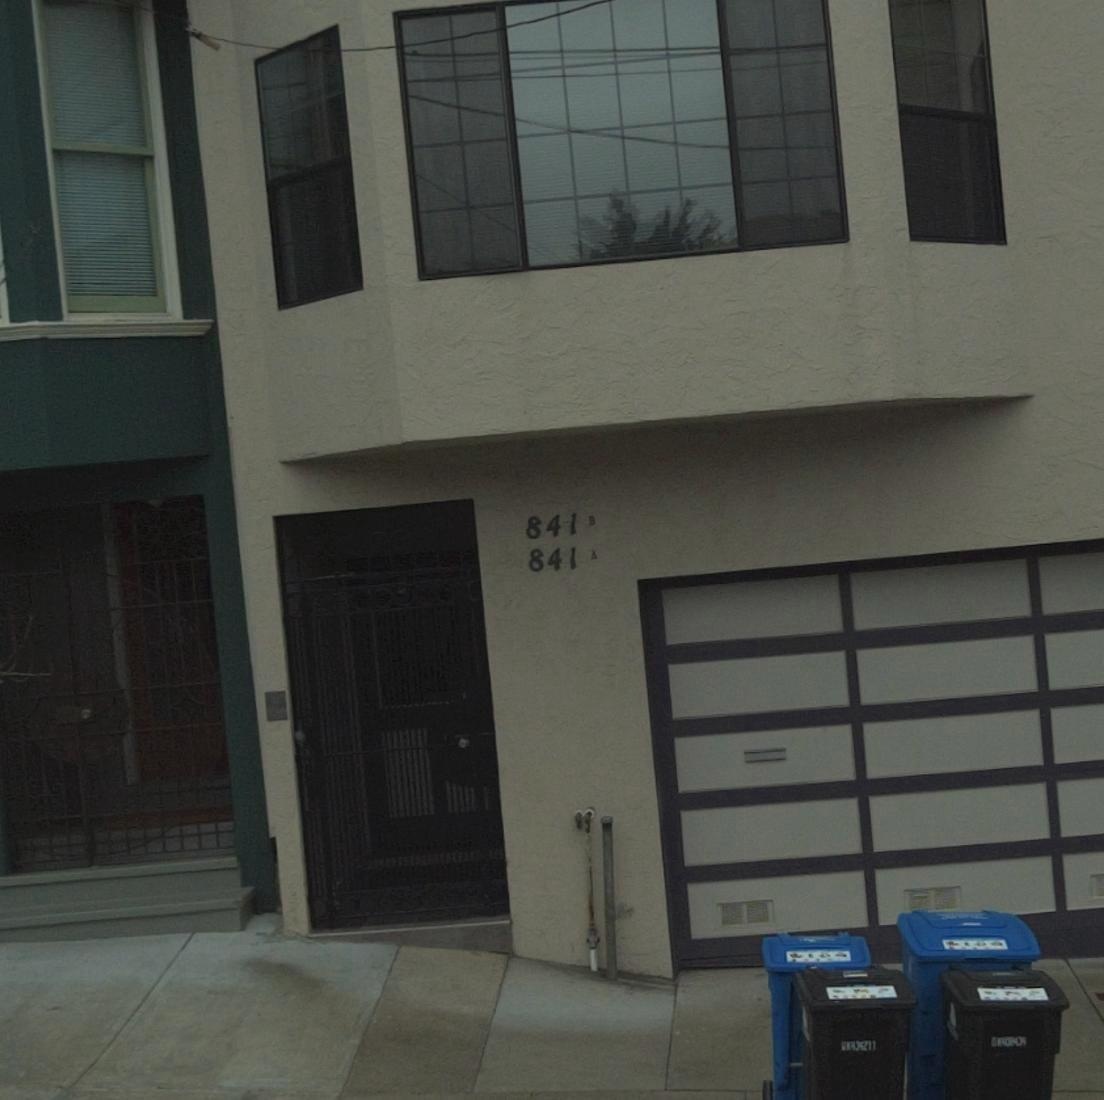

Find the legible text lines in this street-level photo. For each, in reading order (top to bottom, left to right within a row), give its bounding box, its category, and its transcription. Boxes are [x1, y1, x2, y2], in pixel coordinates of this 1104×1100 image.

[523, 509, 597, 542] StreetNumber: 841B
[528, 543, 599, 574] StreetNumber: 841A